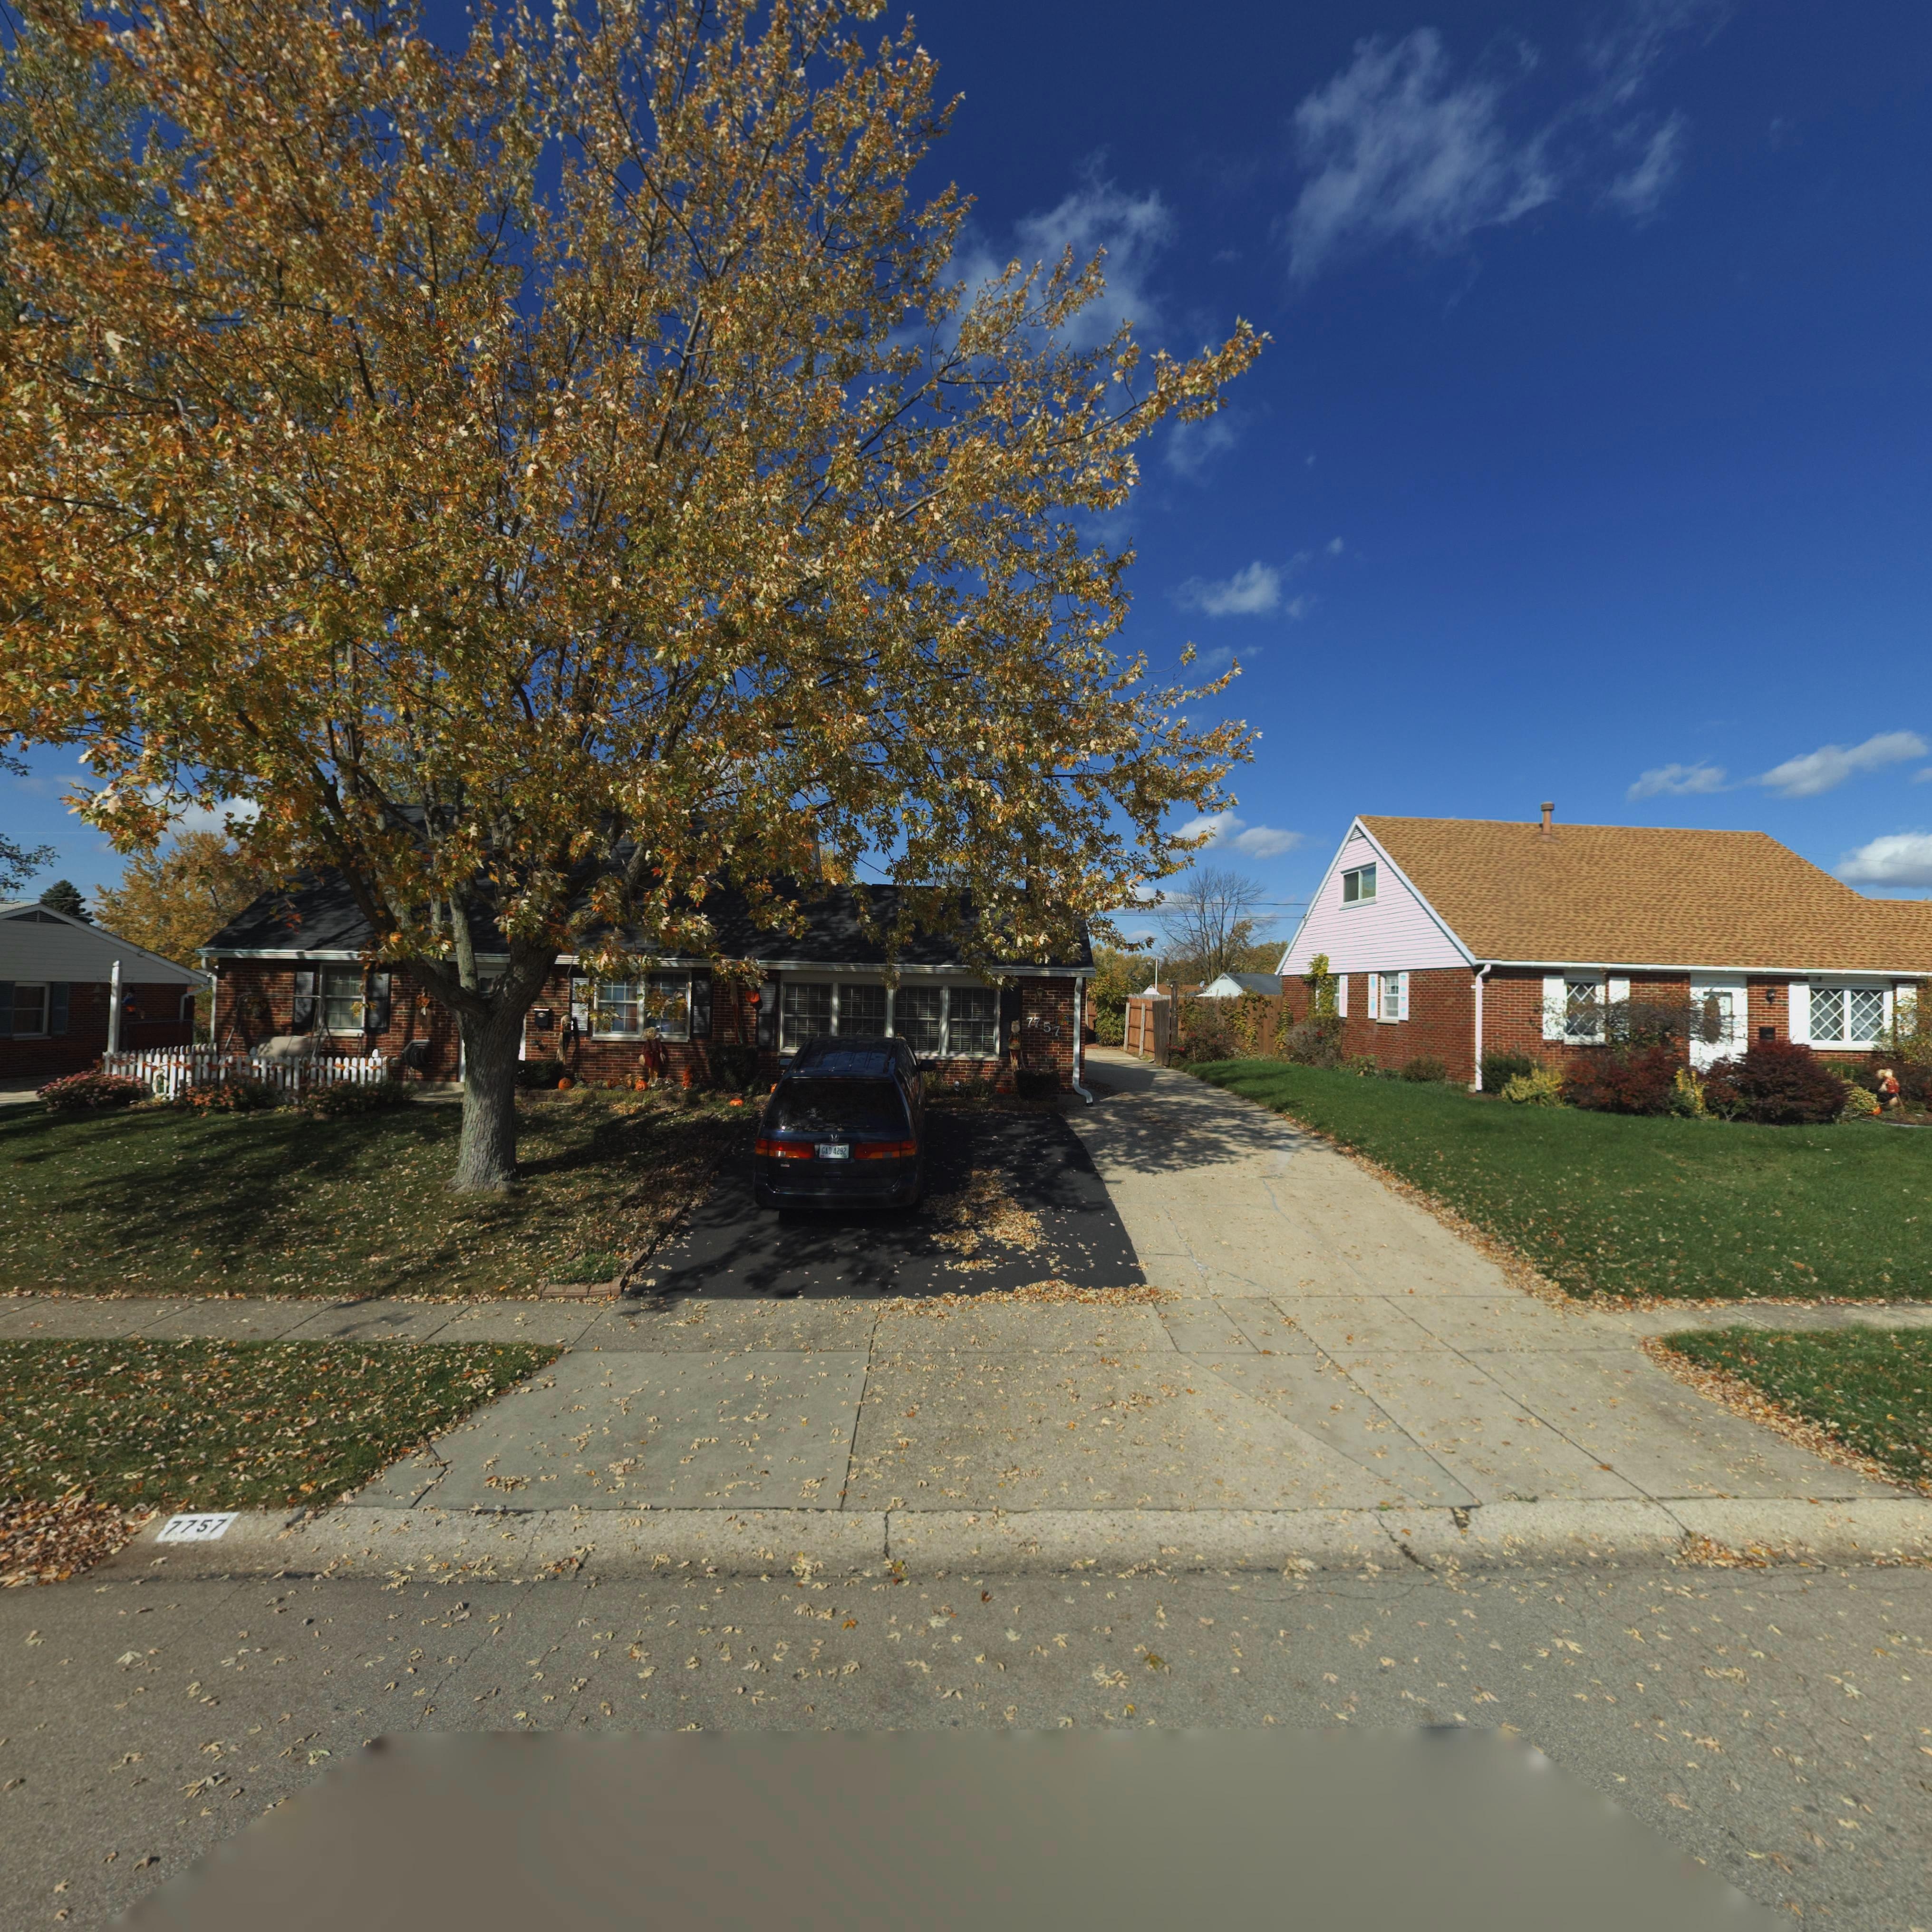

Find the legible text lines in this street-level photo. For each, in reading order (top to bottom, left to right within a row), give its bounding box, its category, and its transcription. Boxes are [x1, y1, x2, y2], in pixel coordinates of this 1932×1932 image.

[163, 1519, 228, 1536] StreetNumber: 7757